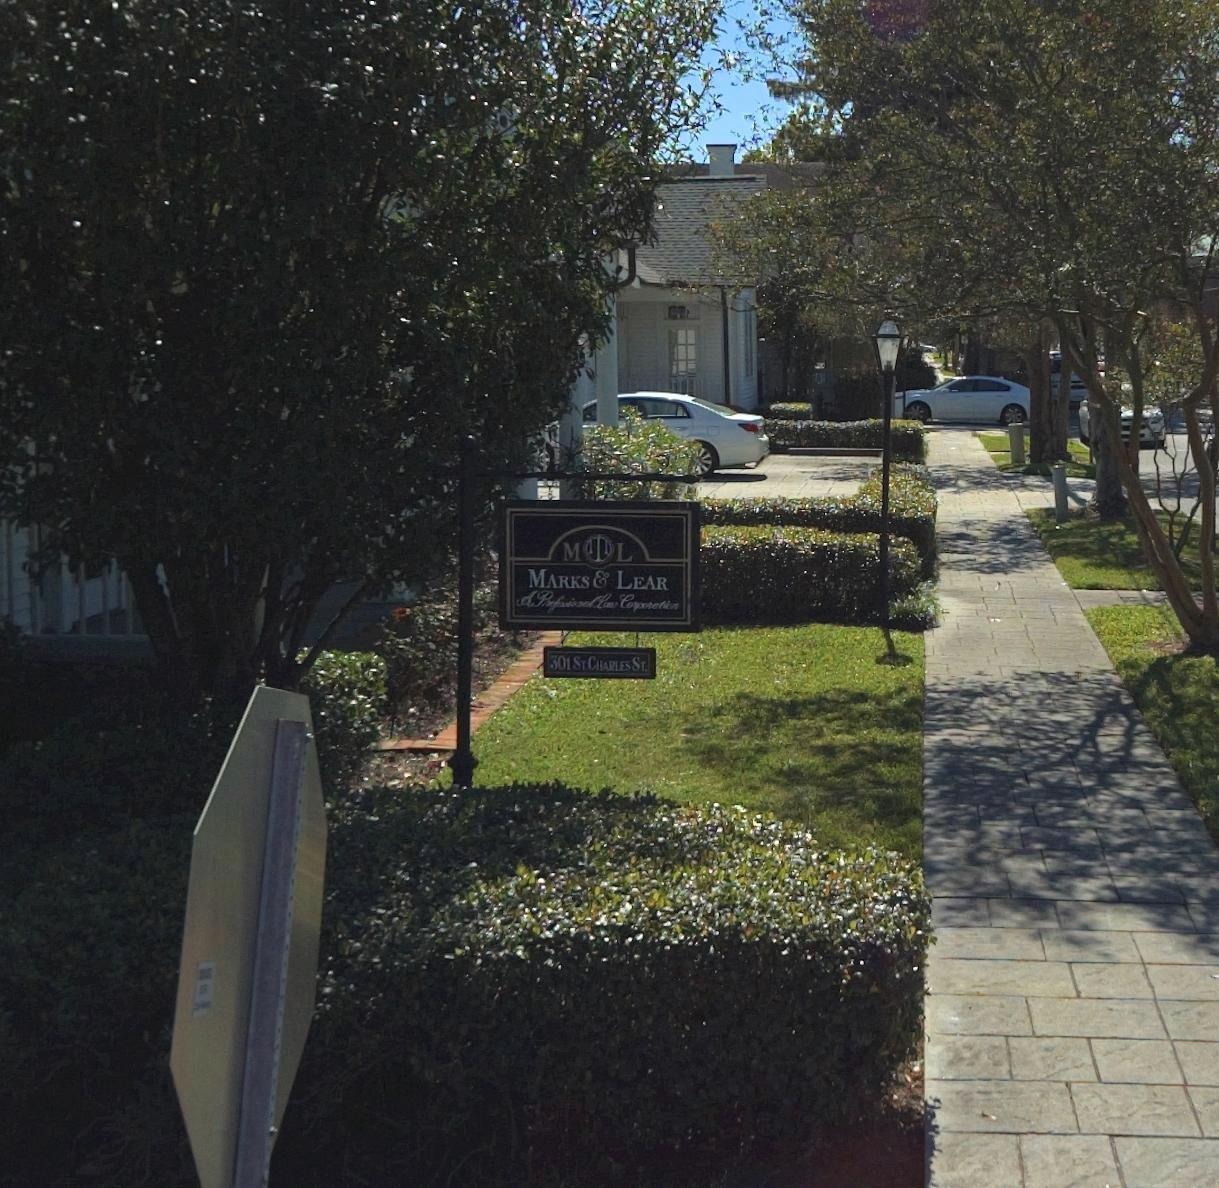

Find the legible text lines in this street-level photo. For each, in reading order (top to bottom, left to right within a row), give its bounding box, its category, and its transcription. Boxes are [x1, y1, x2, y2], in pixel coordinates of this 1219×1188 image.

[560, 540, 635, 565] None: M*L
[526, 566, 672, 593] BusinessName: MARKS & LEAR
[548, 653, 573, 673] StreetNumber: 301
[571, 654, 650, 675] StreetName: ST. CHARLES ST.